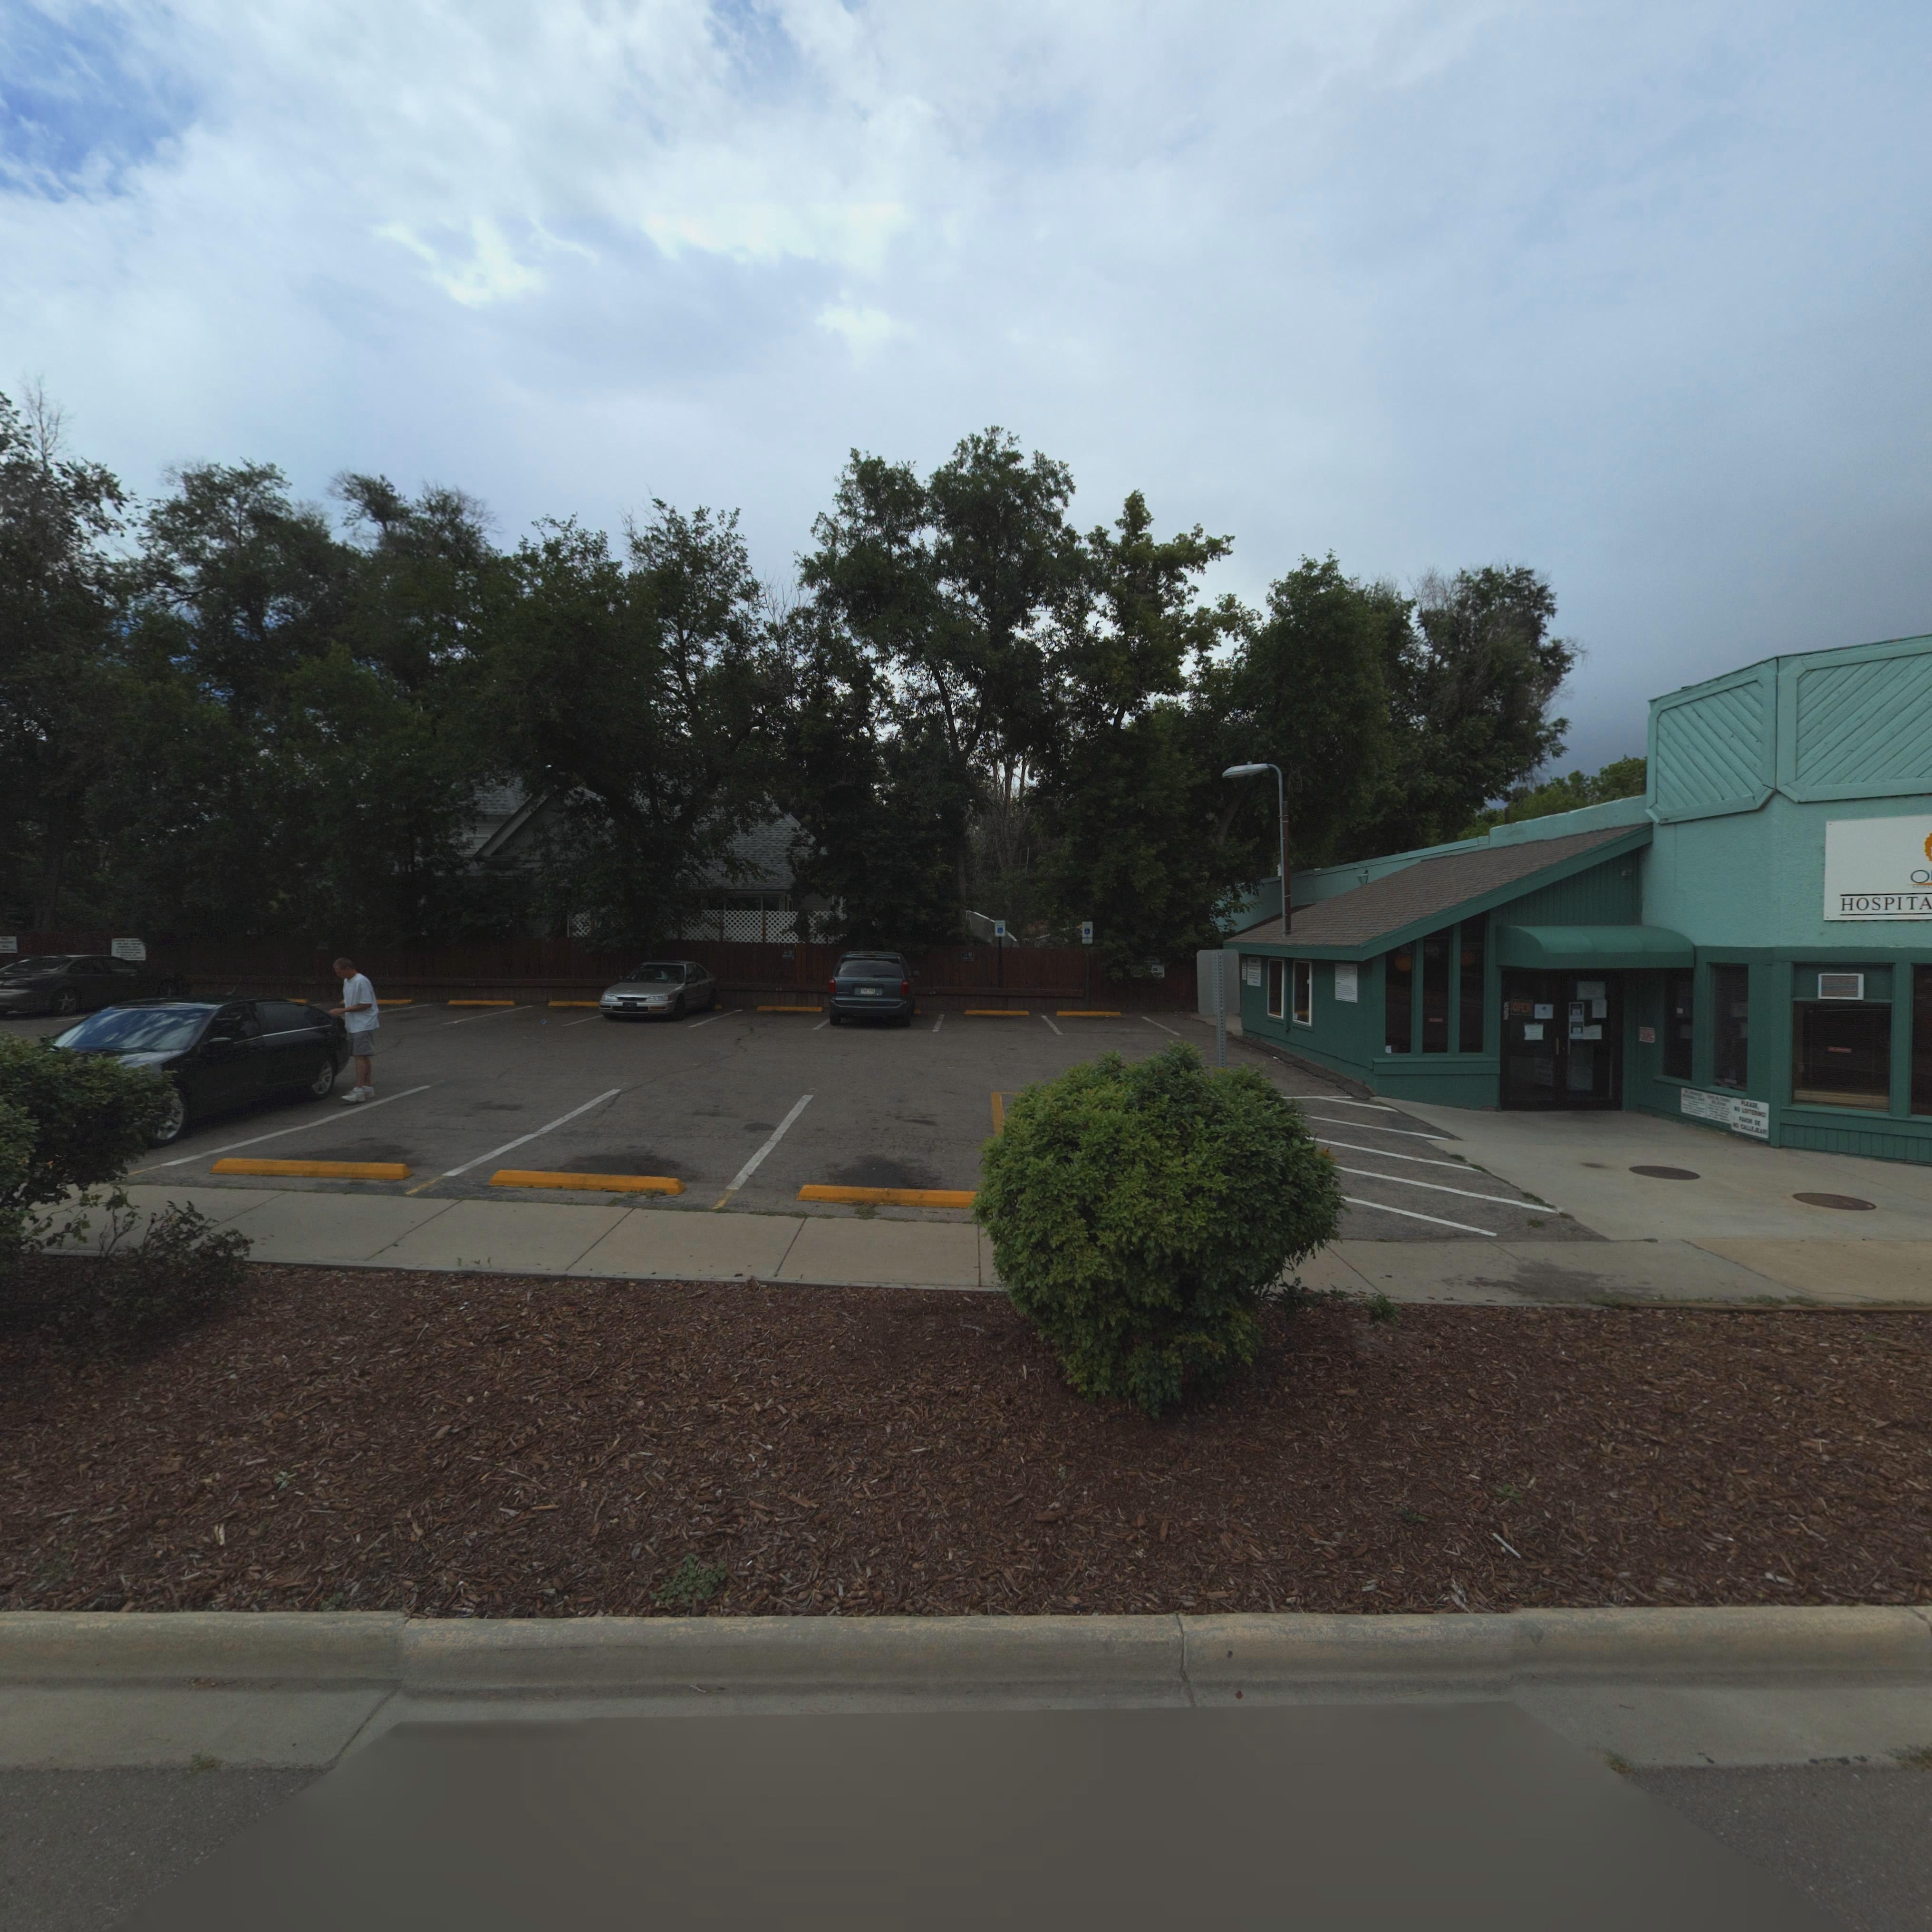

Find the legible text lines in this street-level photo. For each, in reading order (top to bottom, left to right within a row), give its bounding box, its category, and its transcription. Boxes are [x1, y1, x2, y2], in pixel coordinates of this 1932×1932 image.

[1910, 869, 1930, 883] BusinessName: O
[1841, 896, 1931, 910] BusinessName: HOSPITA